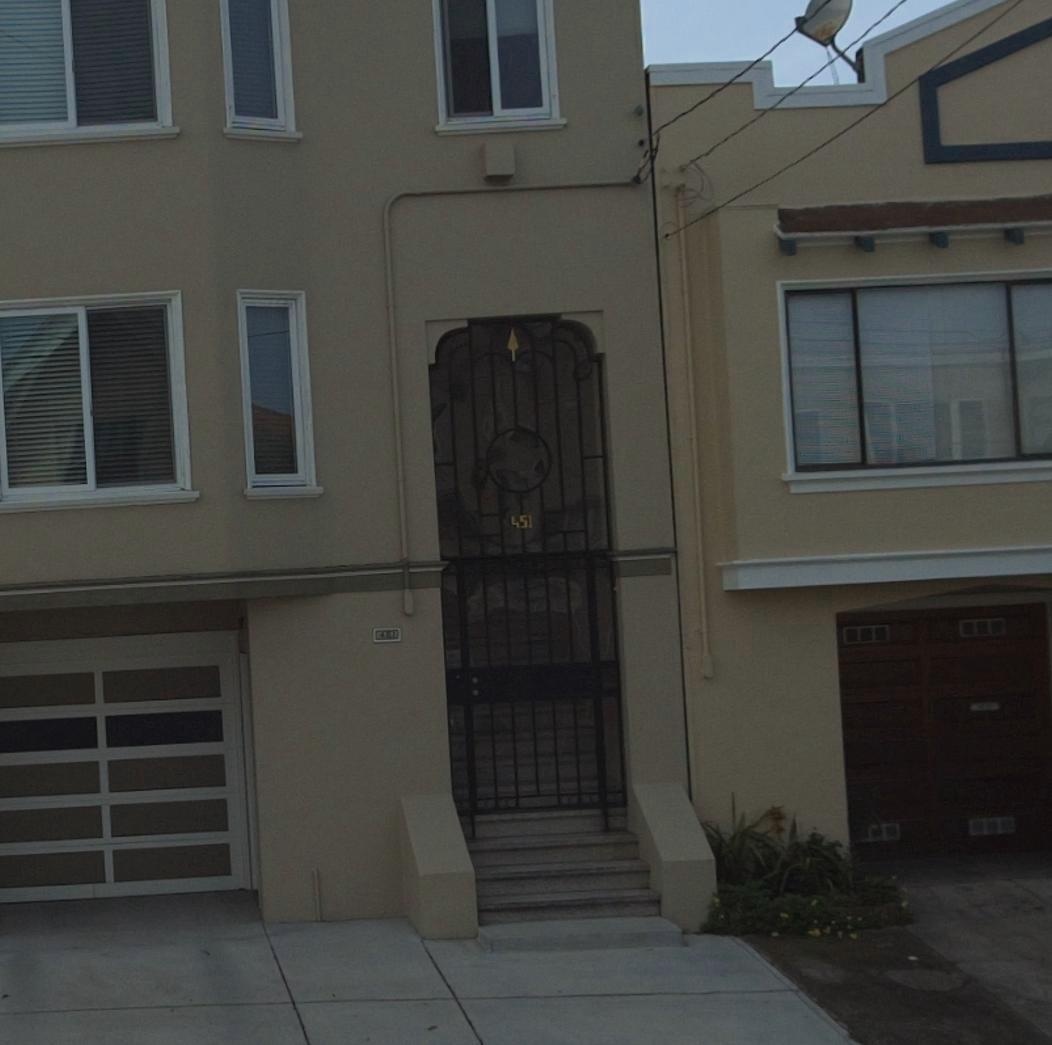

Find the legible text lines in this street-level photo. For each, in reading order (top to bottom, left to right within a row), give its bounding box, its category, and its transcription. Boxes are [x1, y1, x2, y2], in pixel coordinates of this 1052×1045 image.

[509, 514, 534, 530] StreetNumber: 451